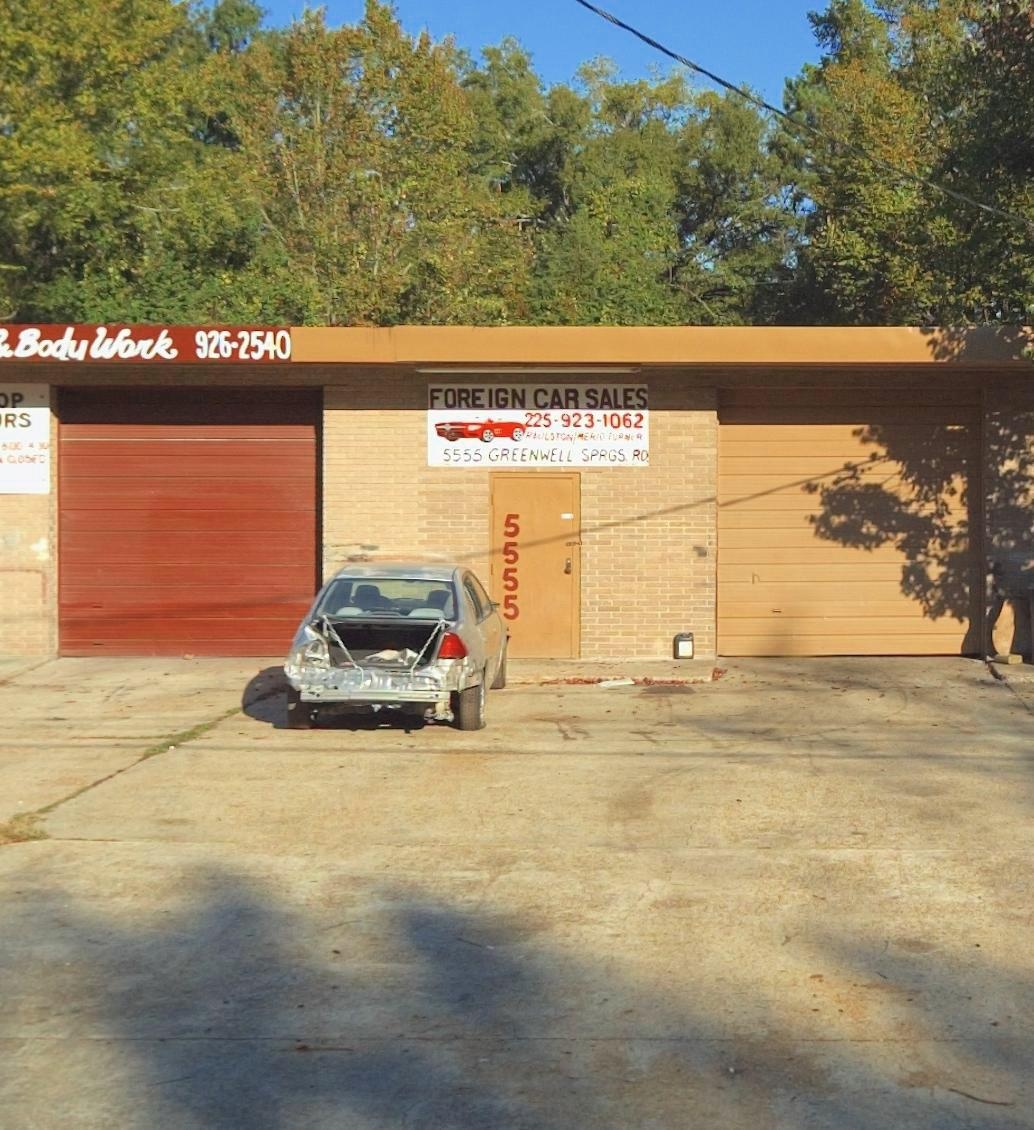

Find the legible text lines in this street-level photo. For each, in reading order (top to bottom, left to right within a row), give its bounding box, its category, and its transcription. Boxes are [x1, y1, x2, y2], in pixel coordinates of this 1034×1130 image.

[10, 324, 181, 363] BusinessName: Body Work
[193, 328, 293, 363] None: 926*2540
[10, 390, 26, 410] None: P
[426, 386, 650, 410] None: FOREIGN CAR SALES
[2, 411, 33, 430] None: RS
[519, 408, 646, 430] None: 225*923*1062
[442, 446, 484, 464] StreetNumber: 5555
[484, 445, 650, 463] StreetName: GREENWELL SPRGS RD.
[500, 512, 522, 622] StreetNumber: 5555